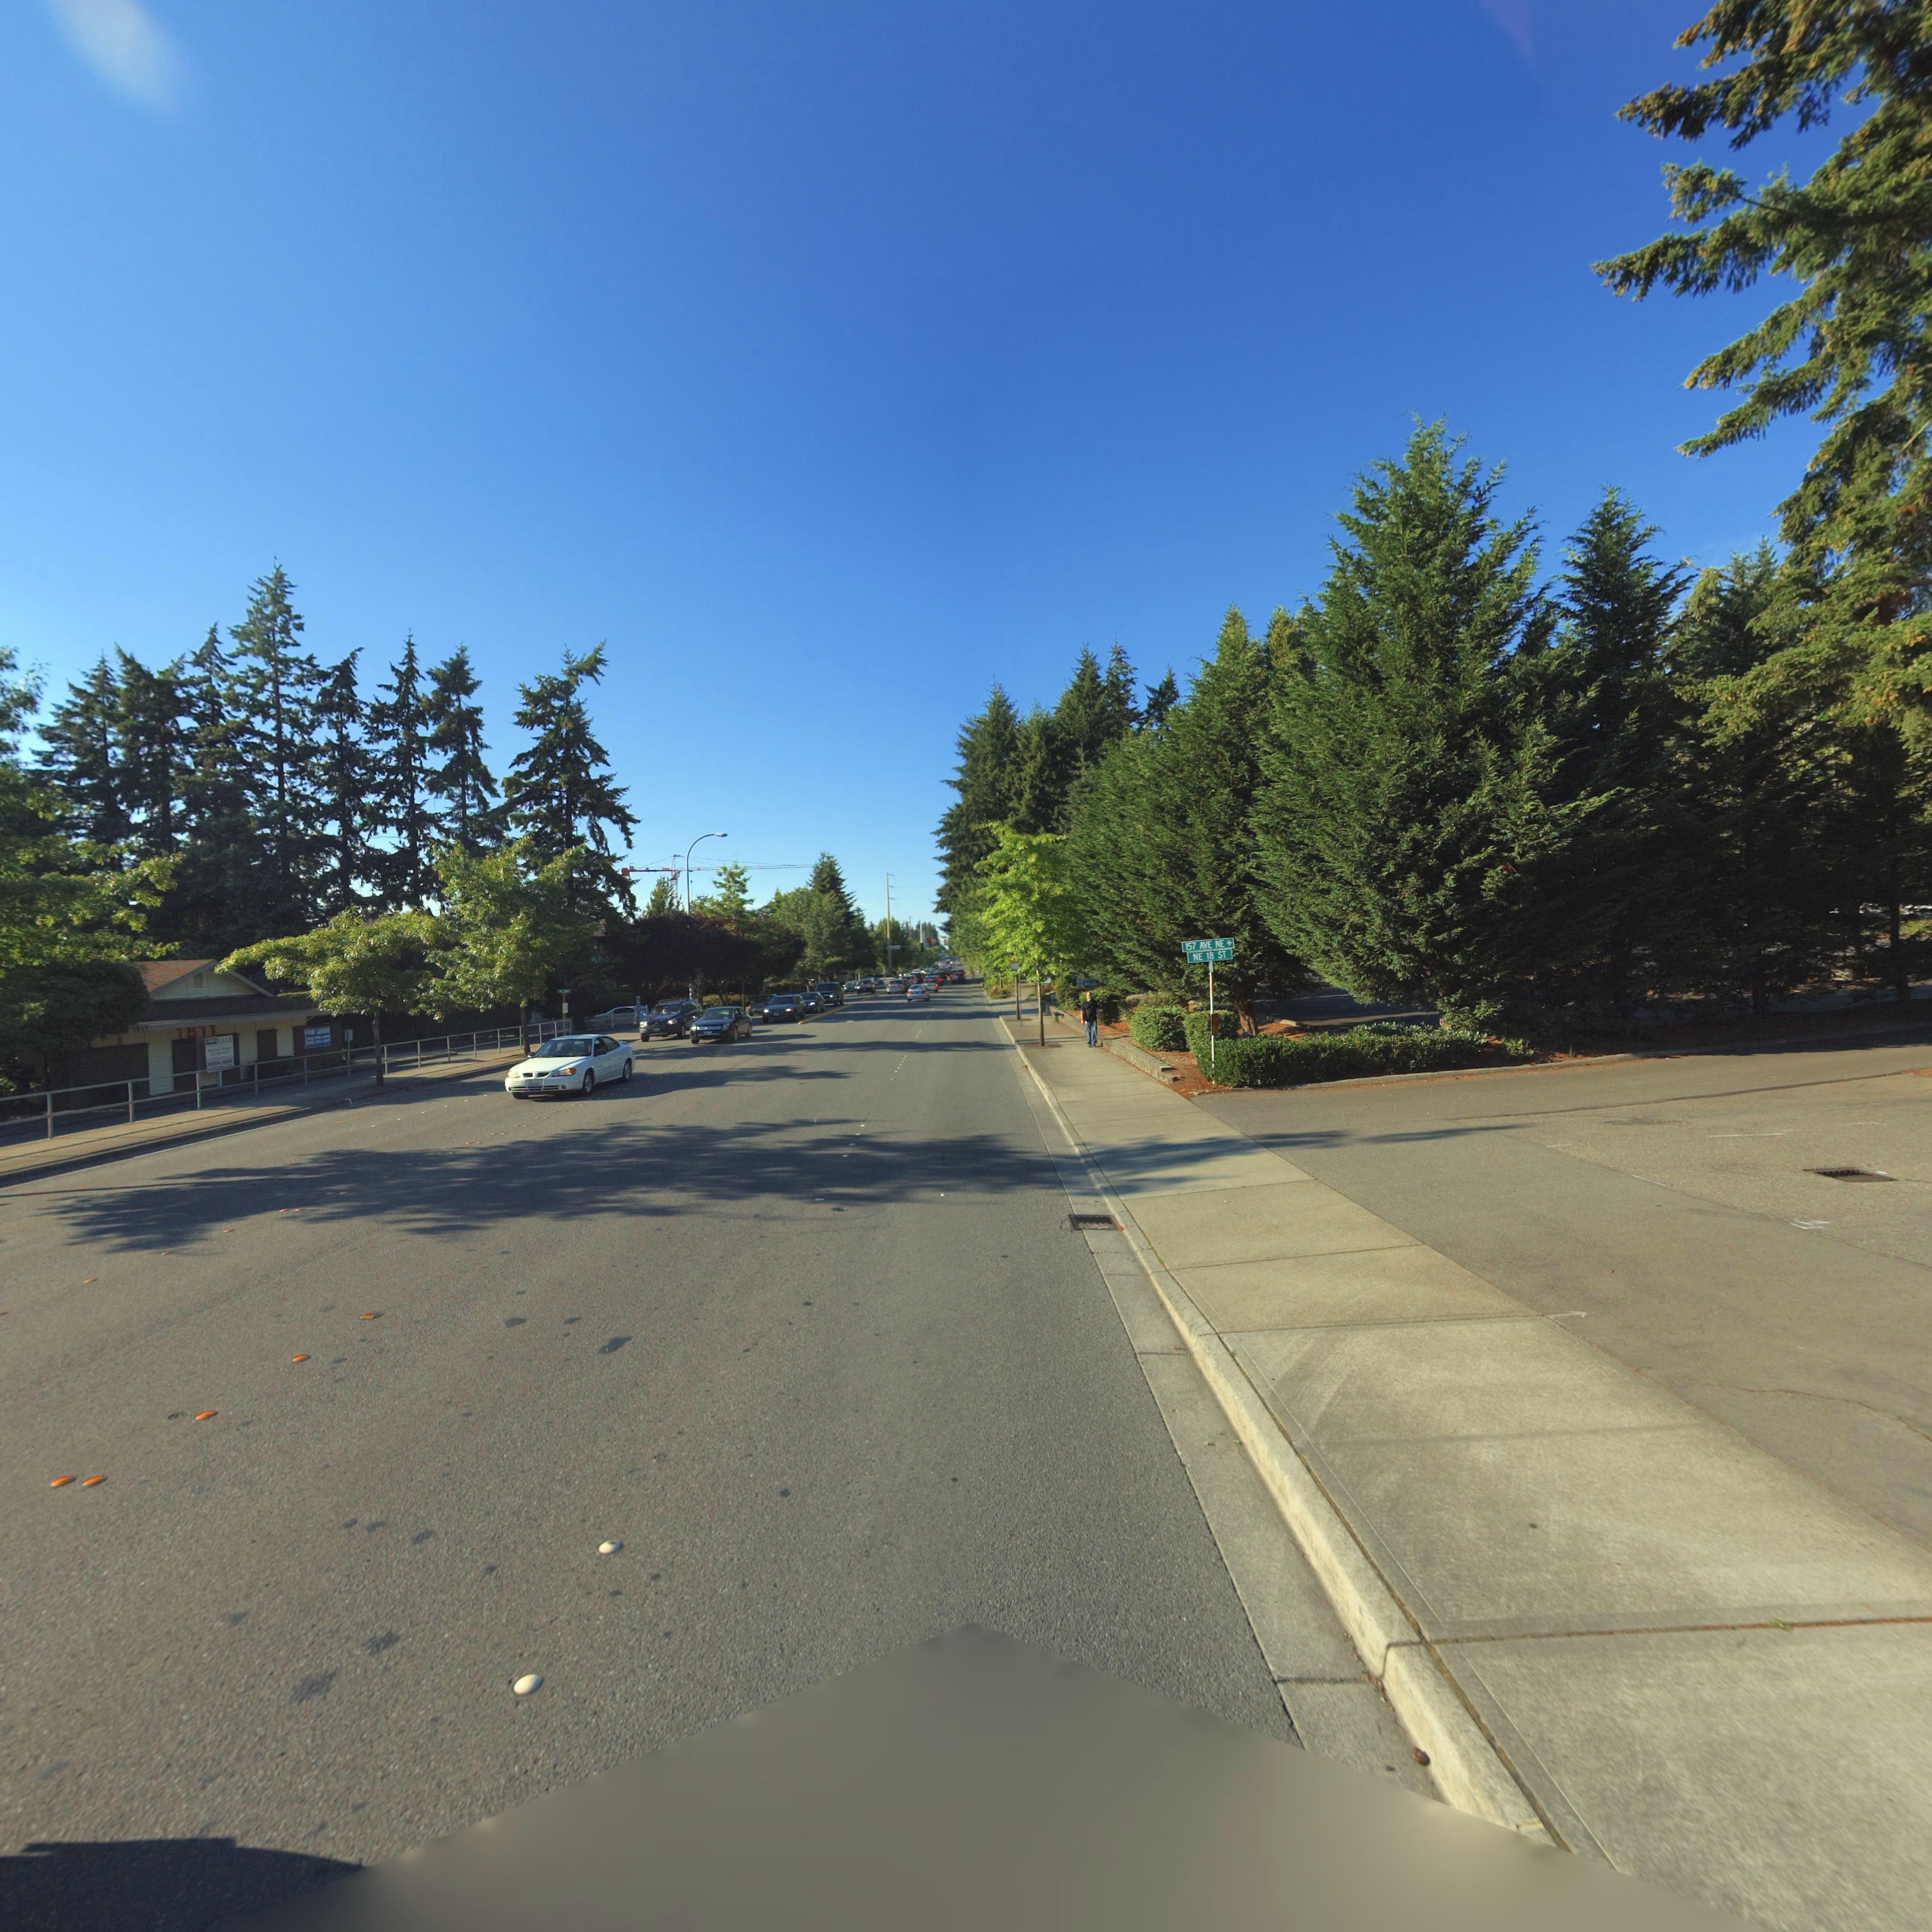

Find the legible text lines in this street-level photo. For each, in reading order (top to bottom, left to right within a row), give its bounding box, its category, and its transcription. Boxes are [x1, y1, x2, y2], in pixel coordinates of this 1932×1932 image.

[1186, 939, 1226, 950] StreetName: 157 AVE NE
[1192, 950, 1227, 961] StreetName: NE 18 ST